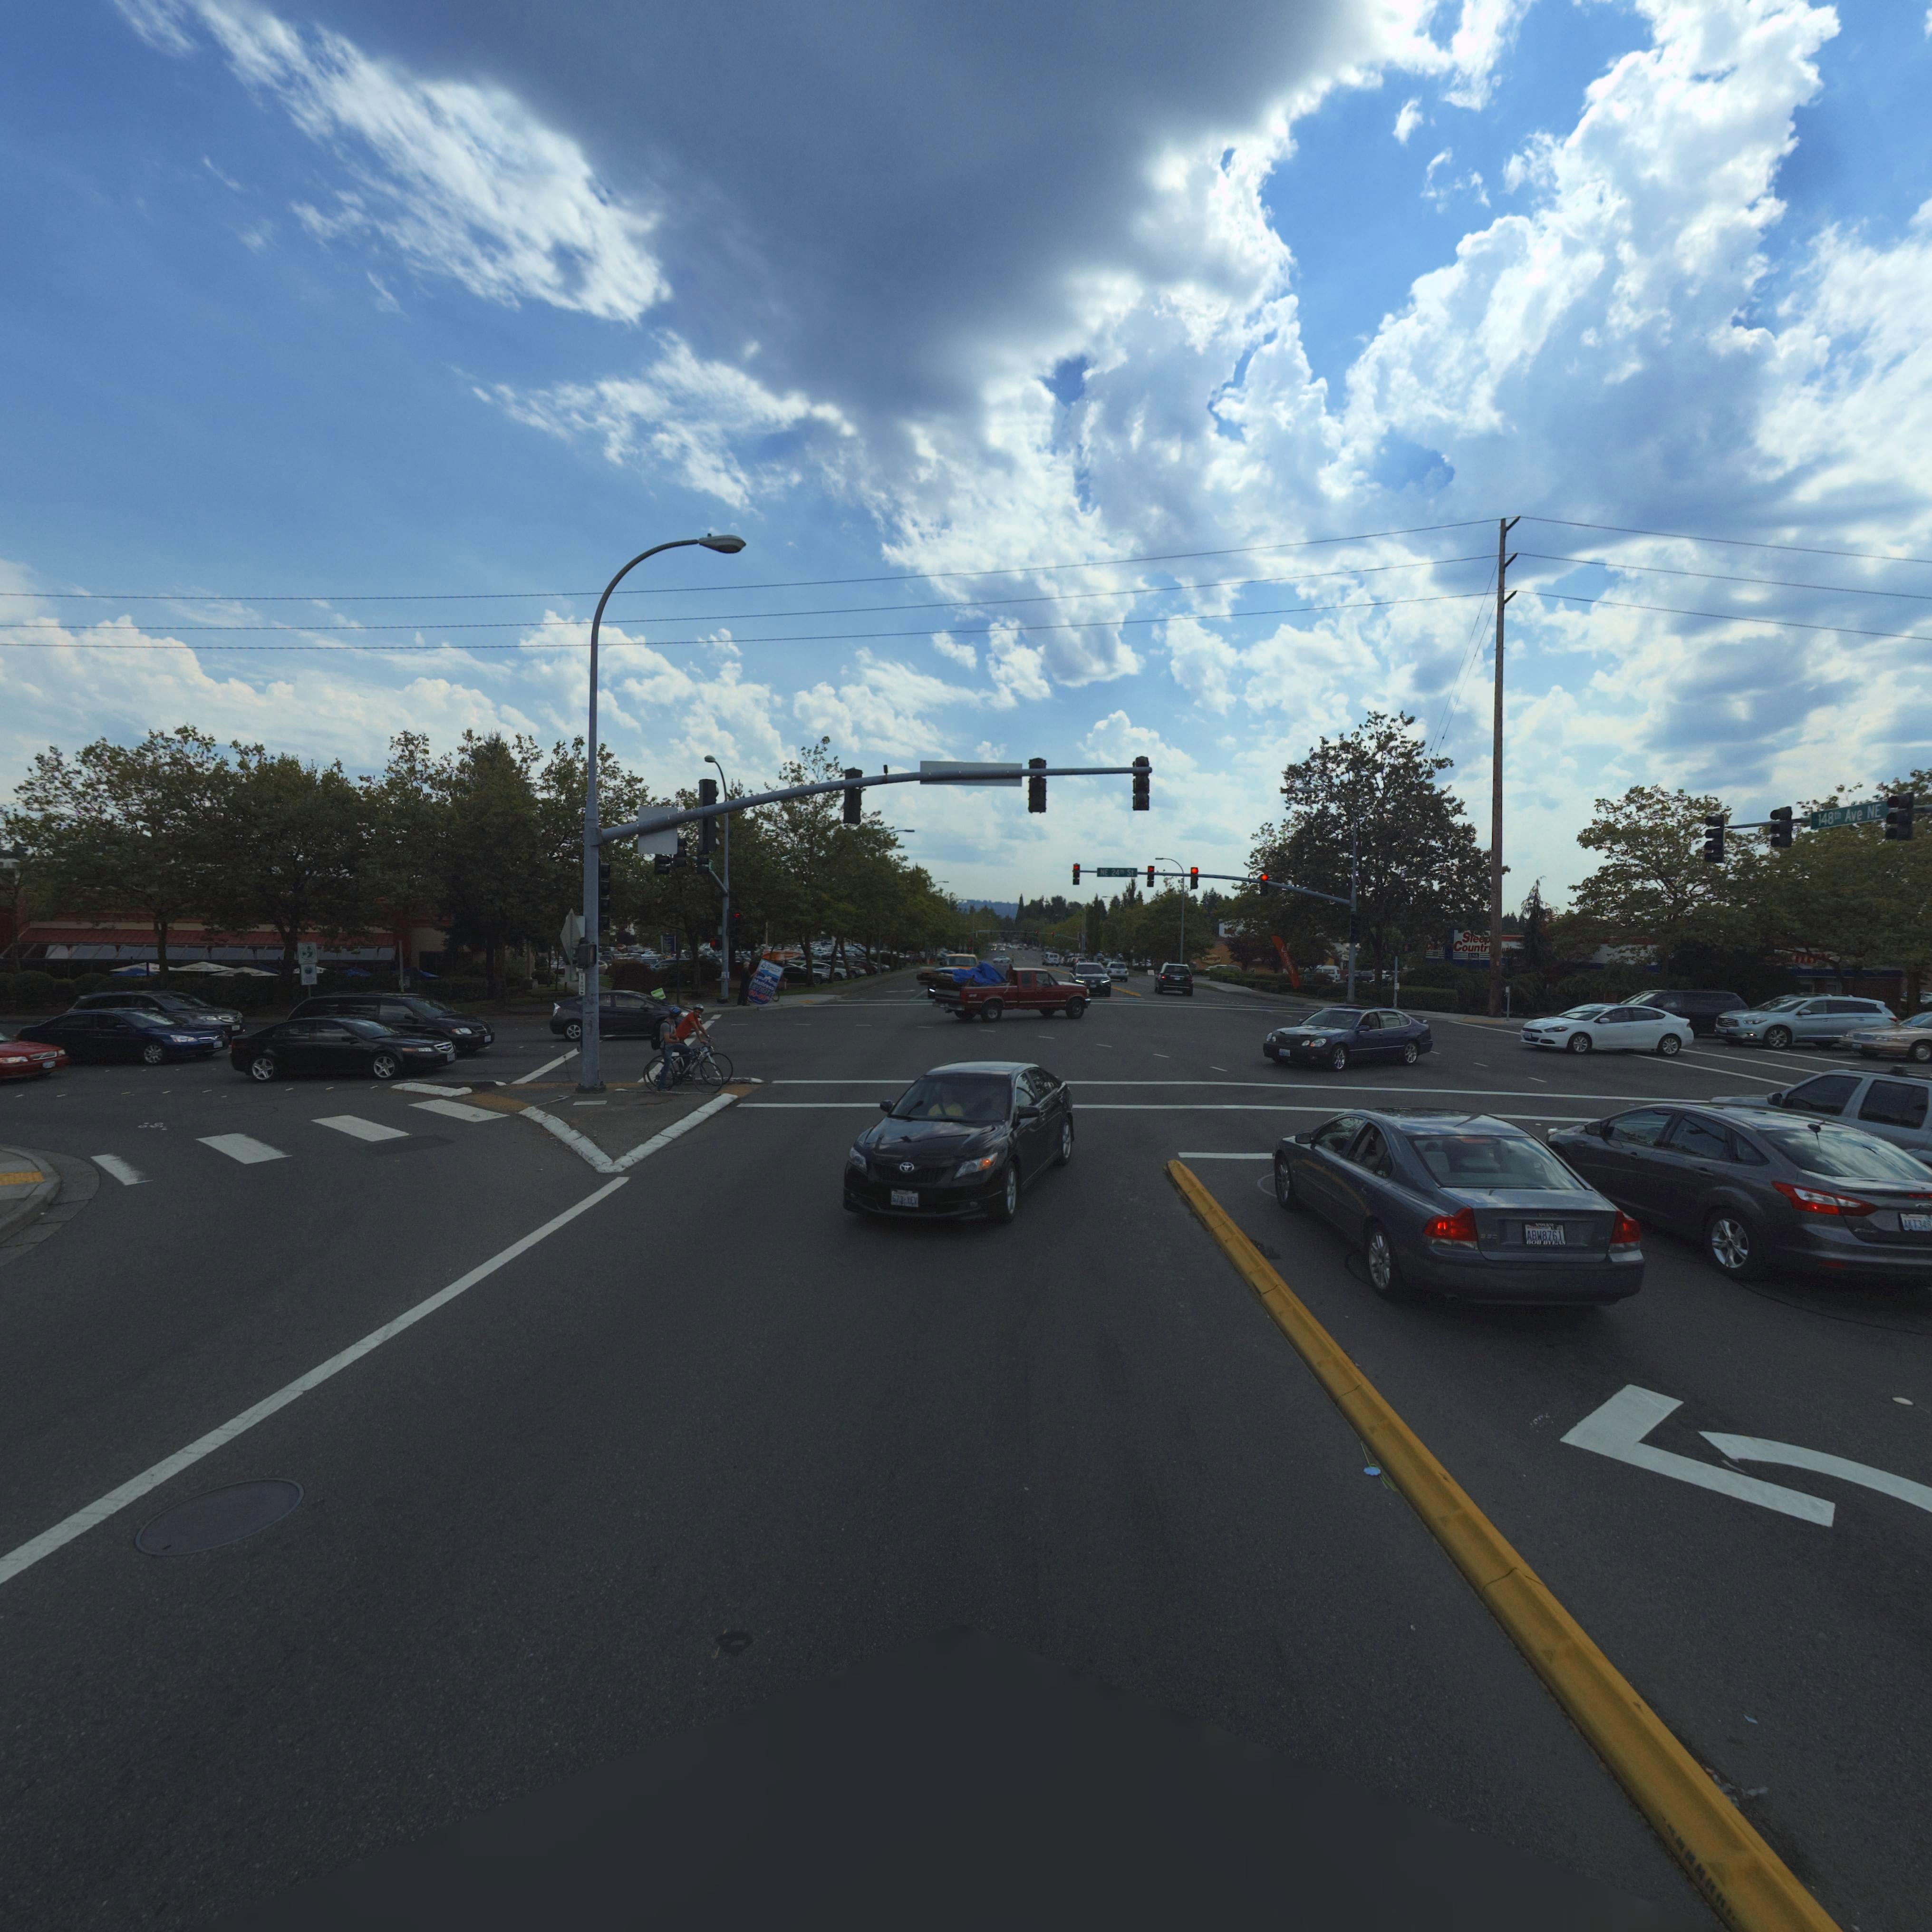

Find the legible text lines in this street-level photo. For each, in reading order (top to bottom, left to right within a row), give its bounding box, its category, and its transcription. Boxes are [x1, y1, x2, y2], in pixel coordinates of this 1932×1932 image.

[1816, 803, 1883, 828] StreetName: 148th Ave NE
[1100, 868, 1134, 876] StreetName: NE 24th St
[1462, 931, 1491, 945] BusinessName: Sle**
[1452, 940, 1491, 954] BusinessName: Countr*
[1469, 953, 1478, 957] BusinessName: US*